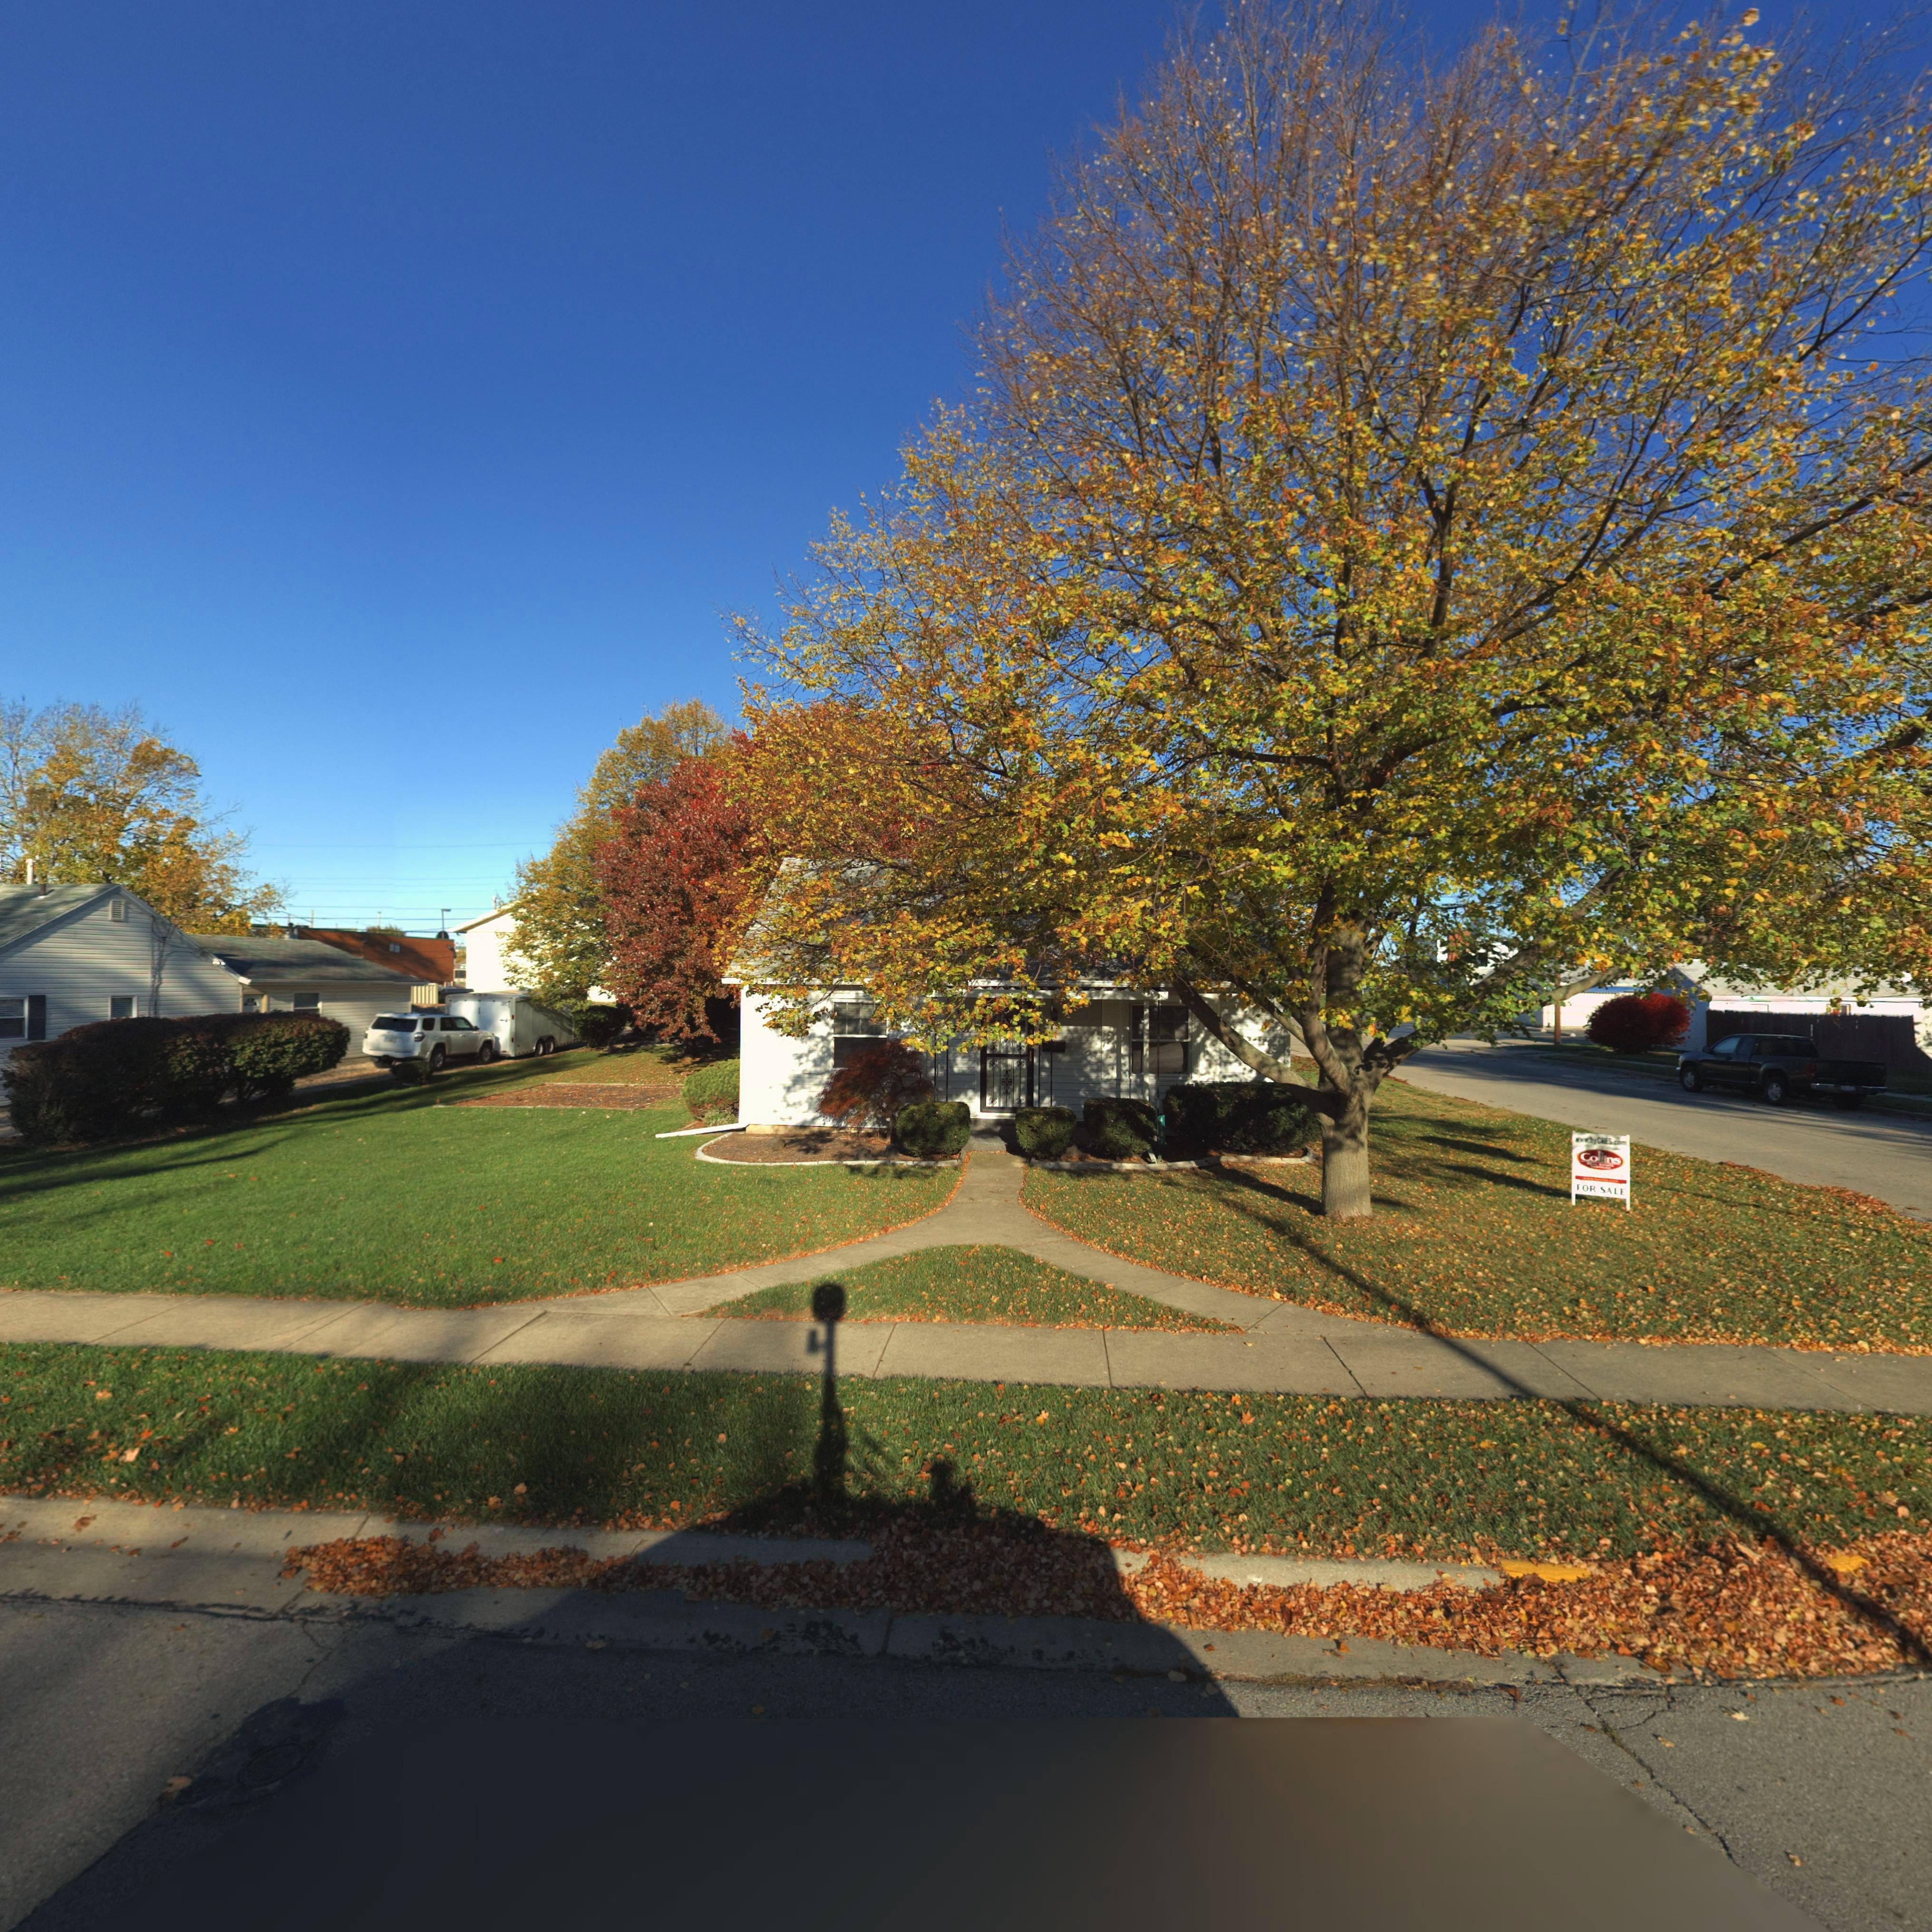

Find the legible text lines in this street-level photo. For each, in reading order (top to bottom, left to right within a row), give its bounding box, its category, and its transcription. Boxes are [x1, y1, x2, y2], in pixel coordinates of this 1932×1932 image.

[1159, 1115, 1165, 1145] StreetNumber: 4701